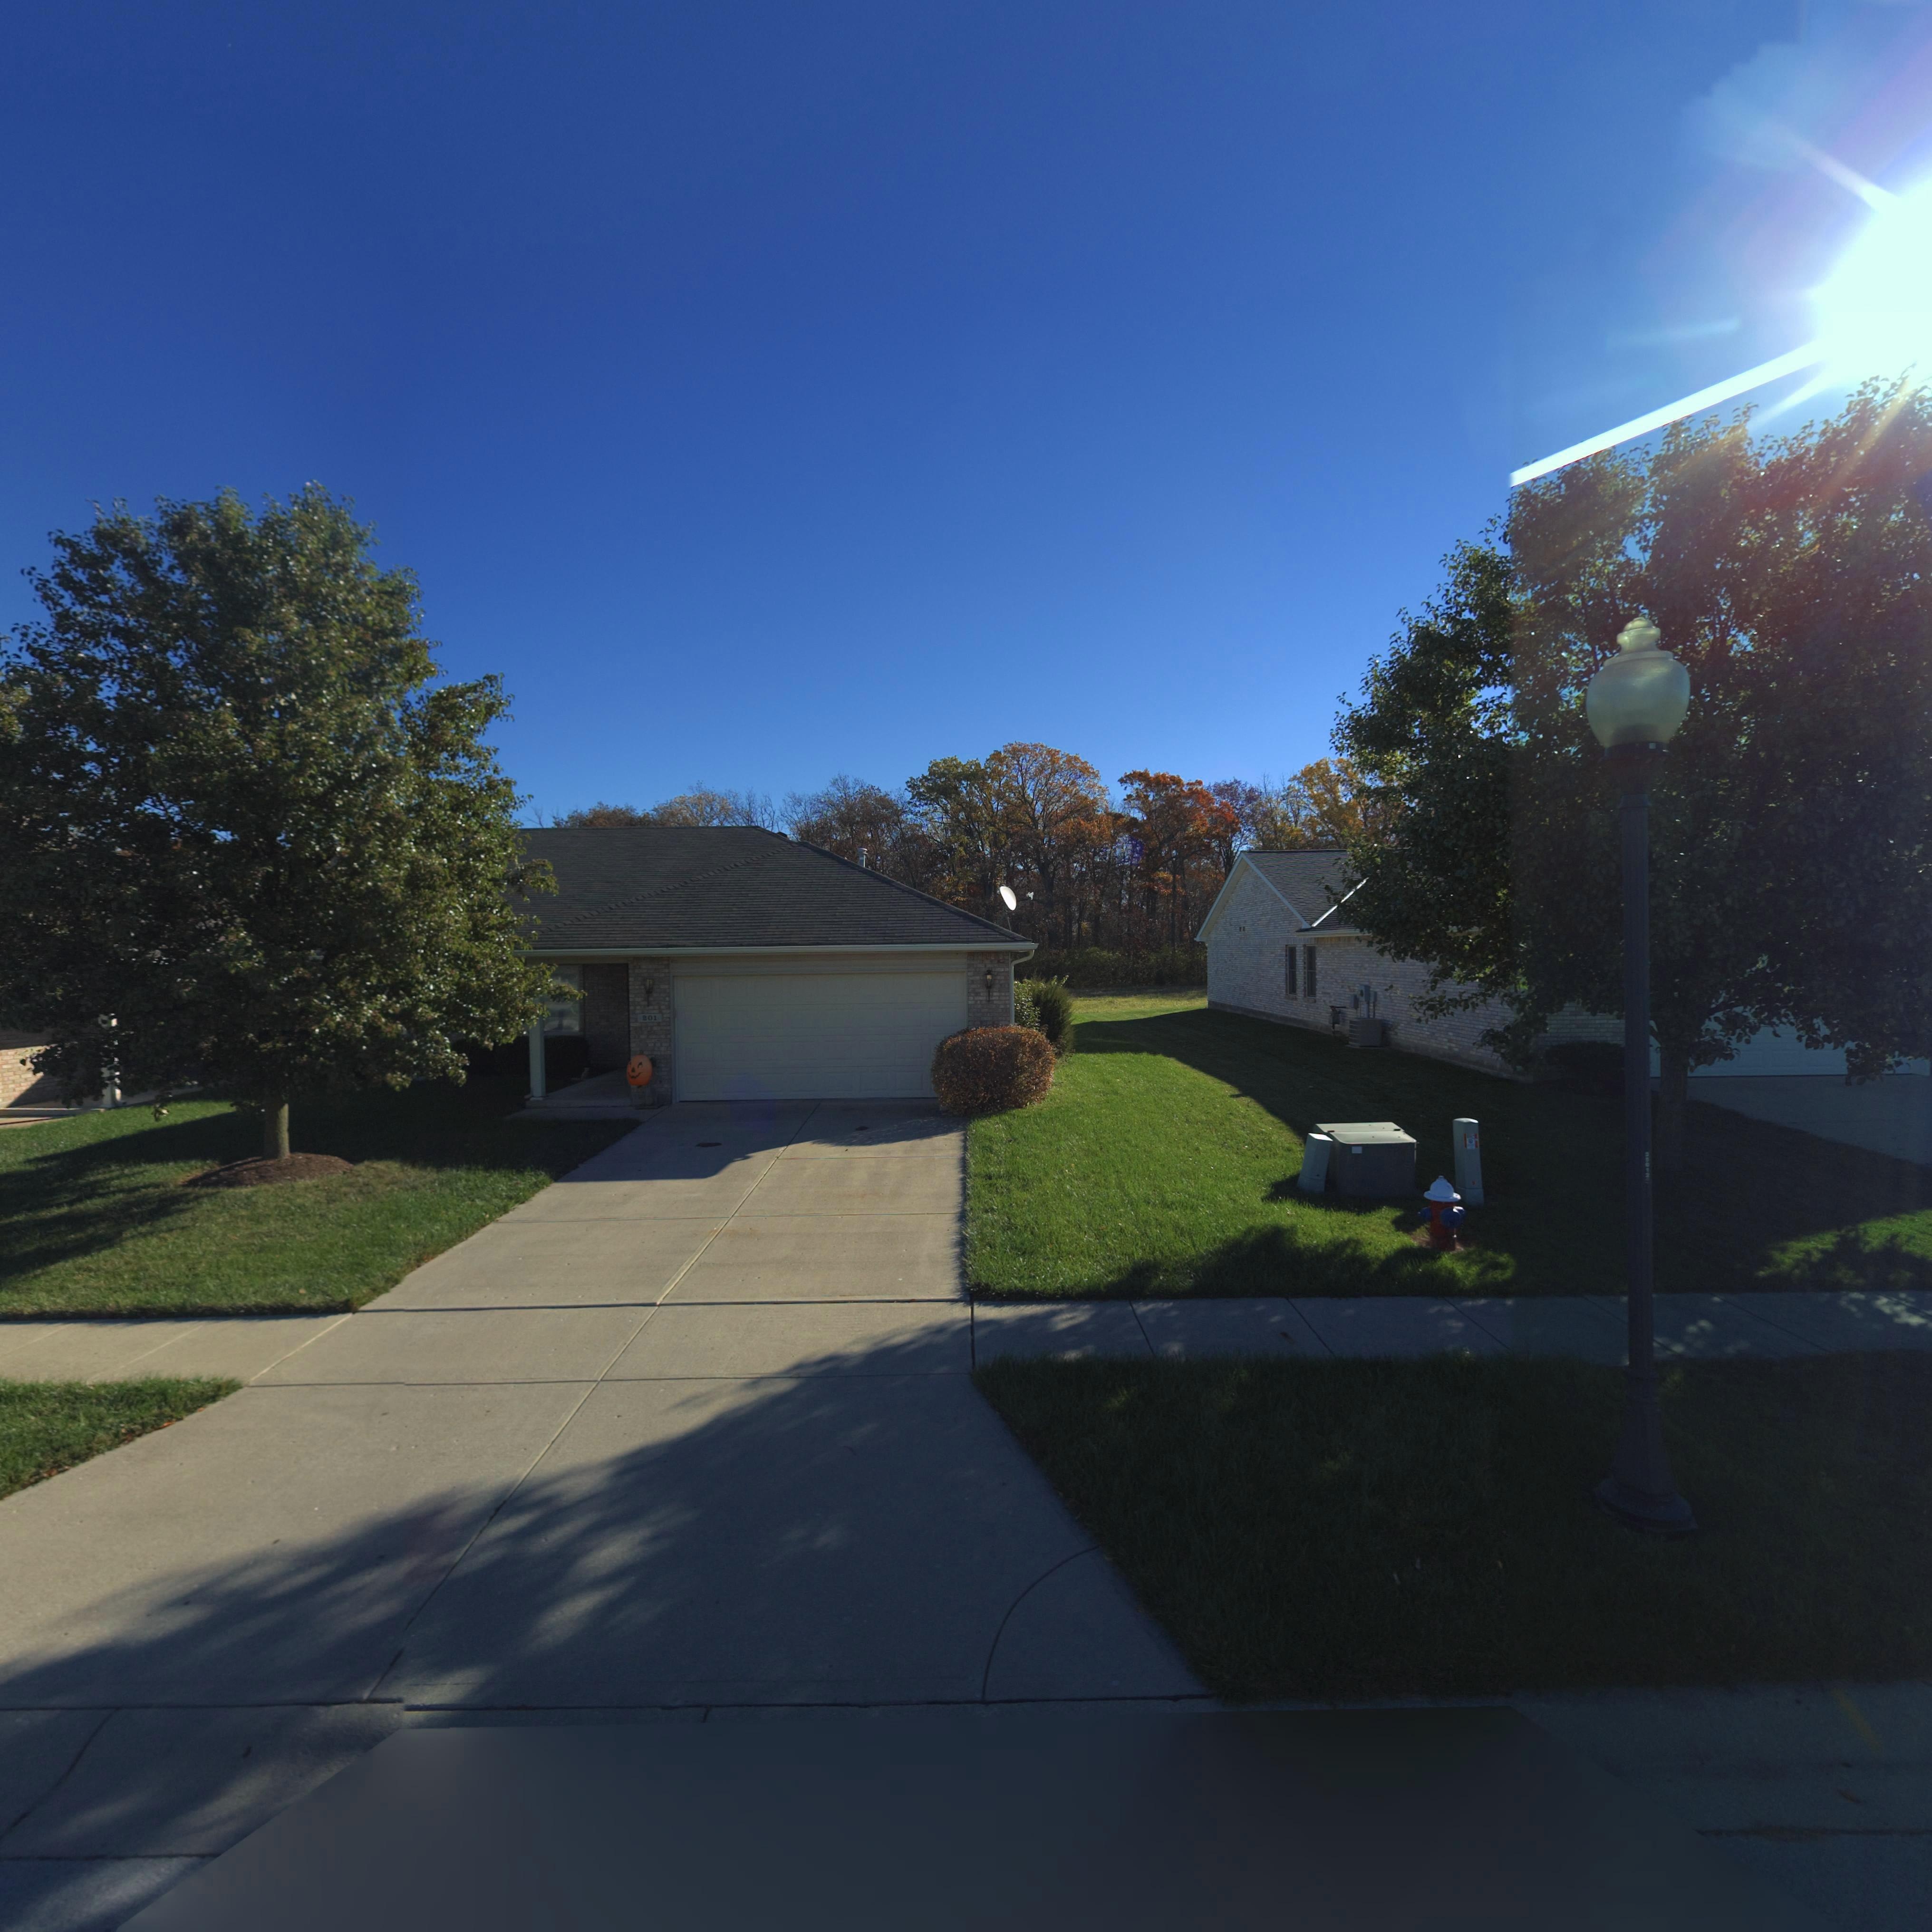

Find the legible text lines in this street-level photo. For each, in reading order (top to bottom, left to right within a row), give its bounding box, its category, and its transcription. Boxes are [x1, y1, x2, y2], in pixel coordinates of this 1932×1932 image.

[641, 1014, 658, 1022] StreetNumber: 201